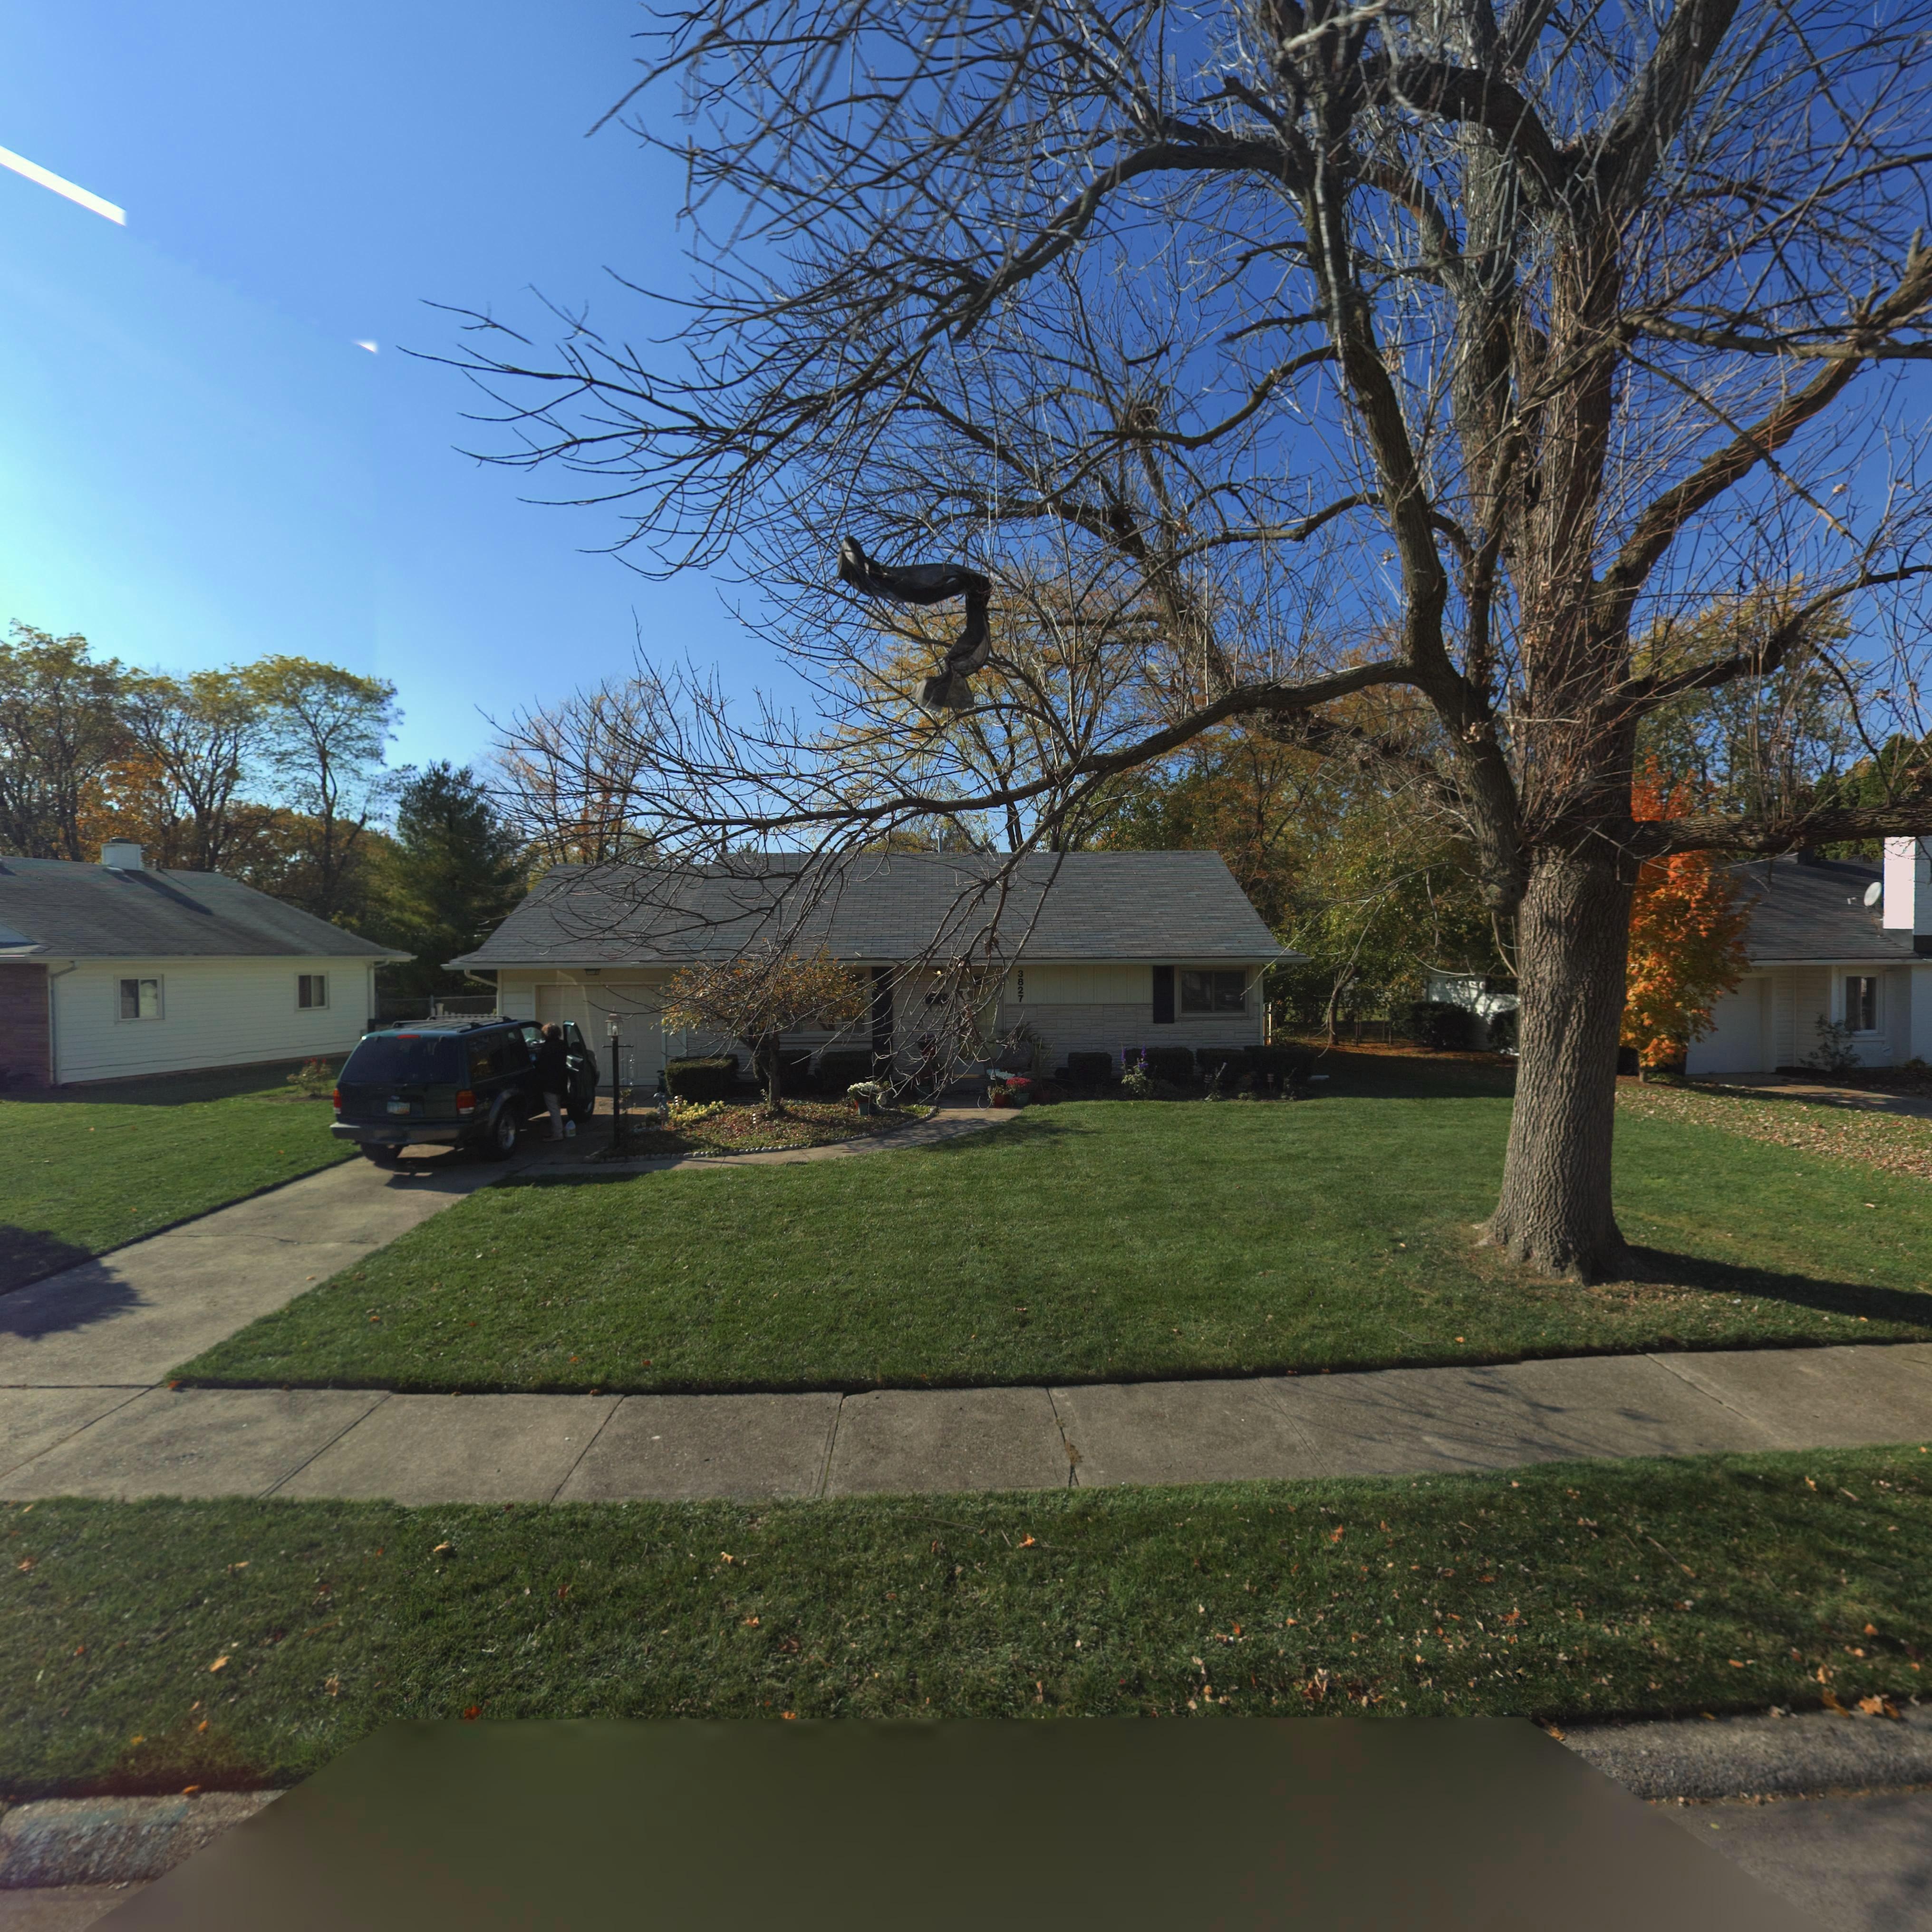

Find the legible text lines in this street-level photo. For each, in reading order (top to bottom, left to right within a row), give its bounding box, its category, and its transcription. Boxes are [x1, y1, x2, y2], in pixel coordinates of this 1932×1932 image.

[1017, 969, 1024, 1003] StreetNumber: 3827